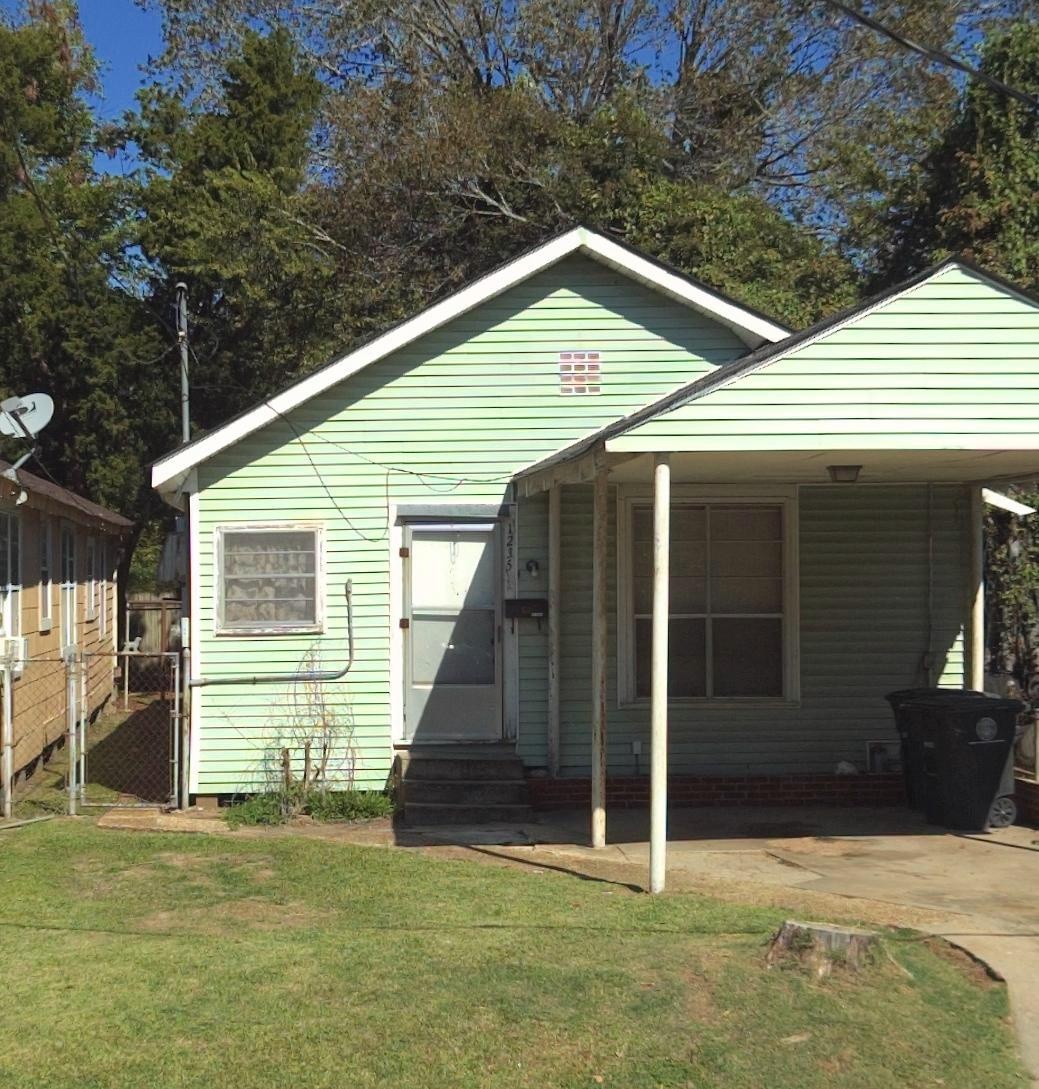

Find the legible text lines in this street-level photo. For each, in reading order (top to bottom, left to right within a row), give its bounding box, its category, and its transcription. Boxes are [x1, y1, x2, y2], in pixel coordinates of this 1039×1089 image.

[505, 521, 515, 573] StreetNumber: 1235